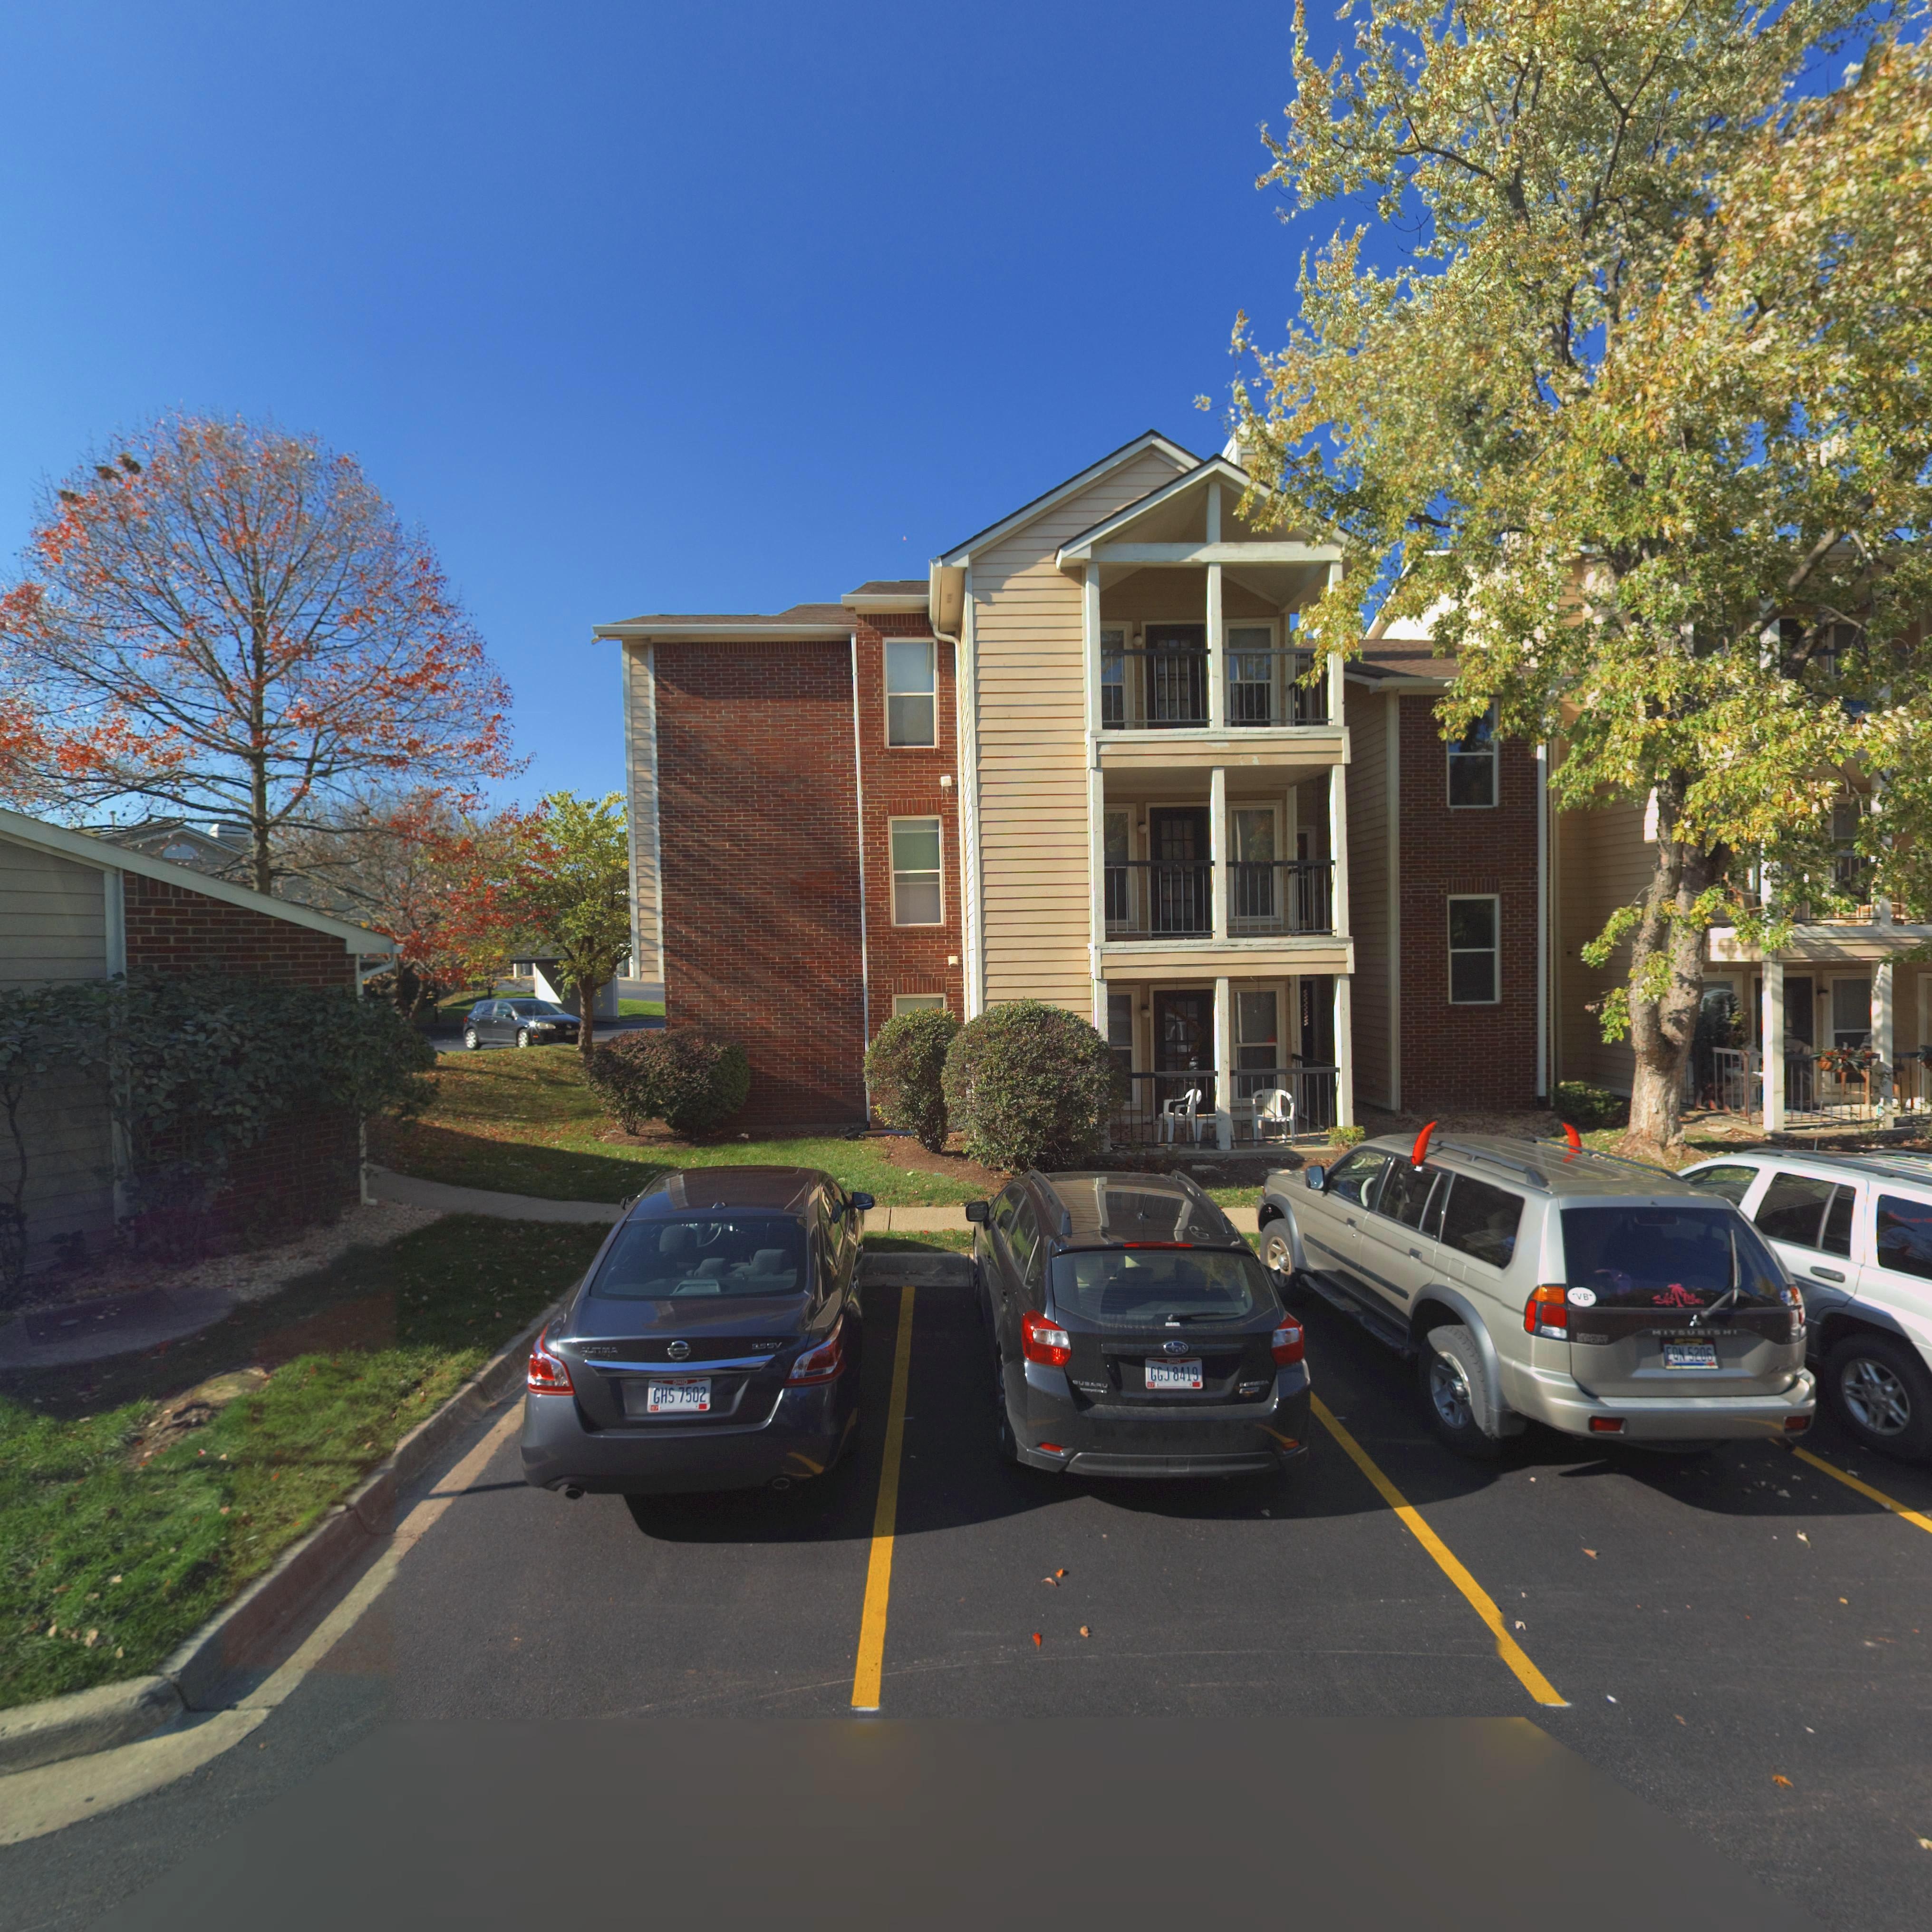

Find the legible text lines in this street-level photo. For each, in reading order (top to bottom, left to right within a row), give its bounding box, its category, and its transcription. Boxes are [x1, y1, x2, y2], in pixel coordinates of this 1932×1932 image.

[1574, 1291, 1590, 1302] None: VB
[1651, 1329, 1738, 1336] None: MIT*U*I*HI
[750, 1341, 783, 1351] None: *55V
[1664, 1345, 1714, 1363] None: EQN 5206
[1166, 1358, 1182, 1364] None: OHIO
[1150, 1365, 1199, 1382] None: GGJ 8419
[672, 1378, 689, 1386] None: OHIO
[1071, 1378, 1109, 1389] None: *U*A*U
[652, 1385, 707, 1405] None: GHS 7502